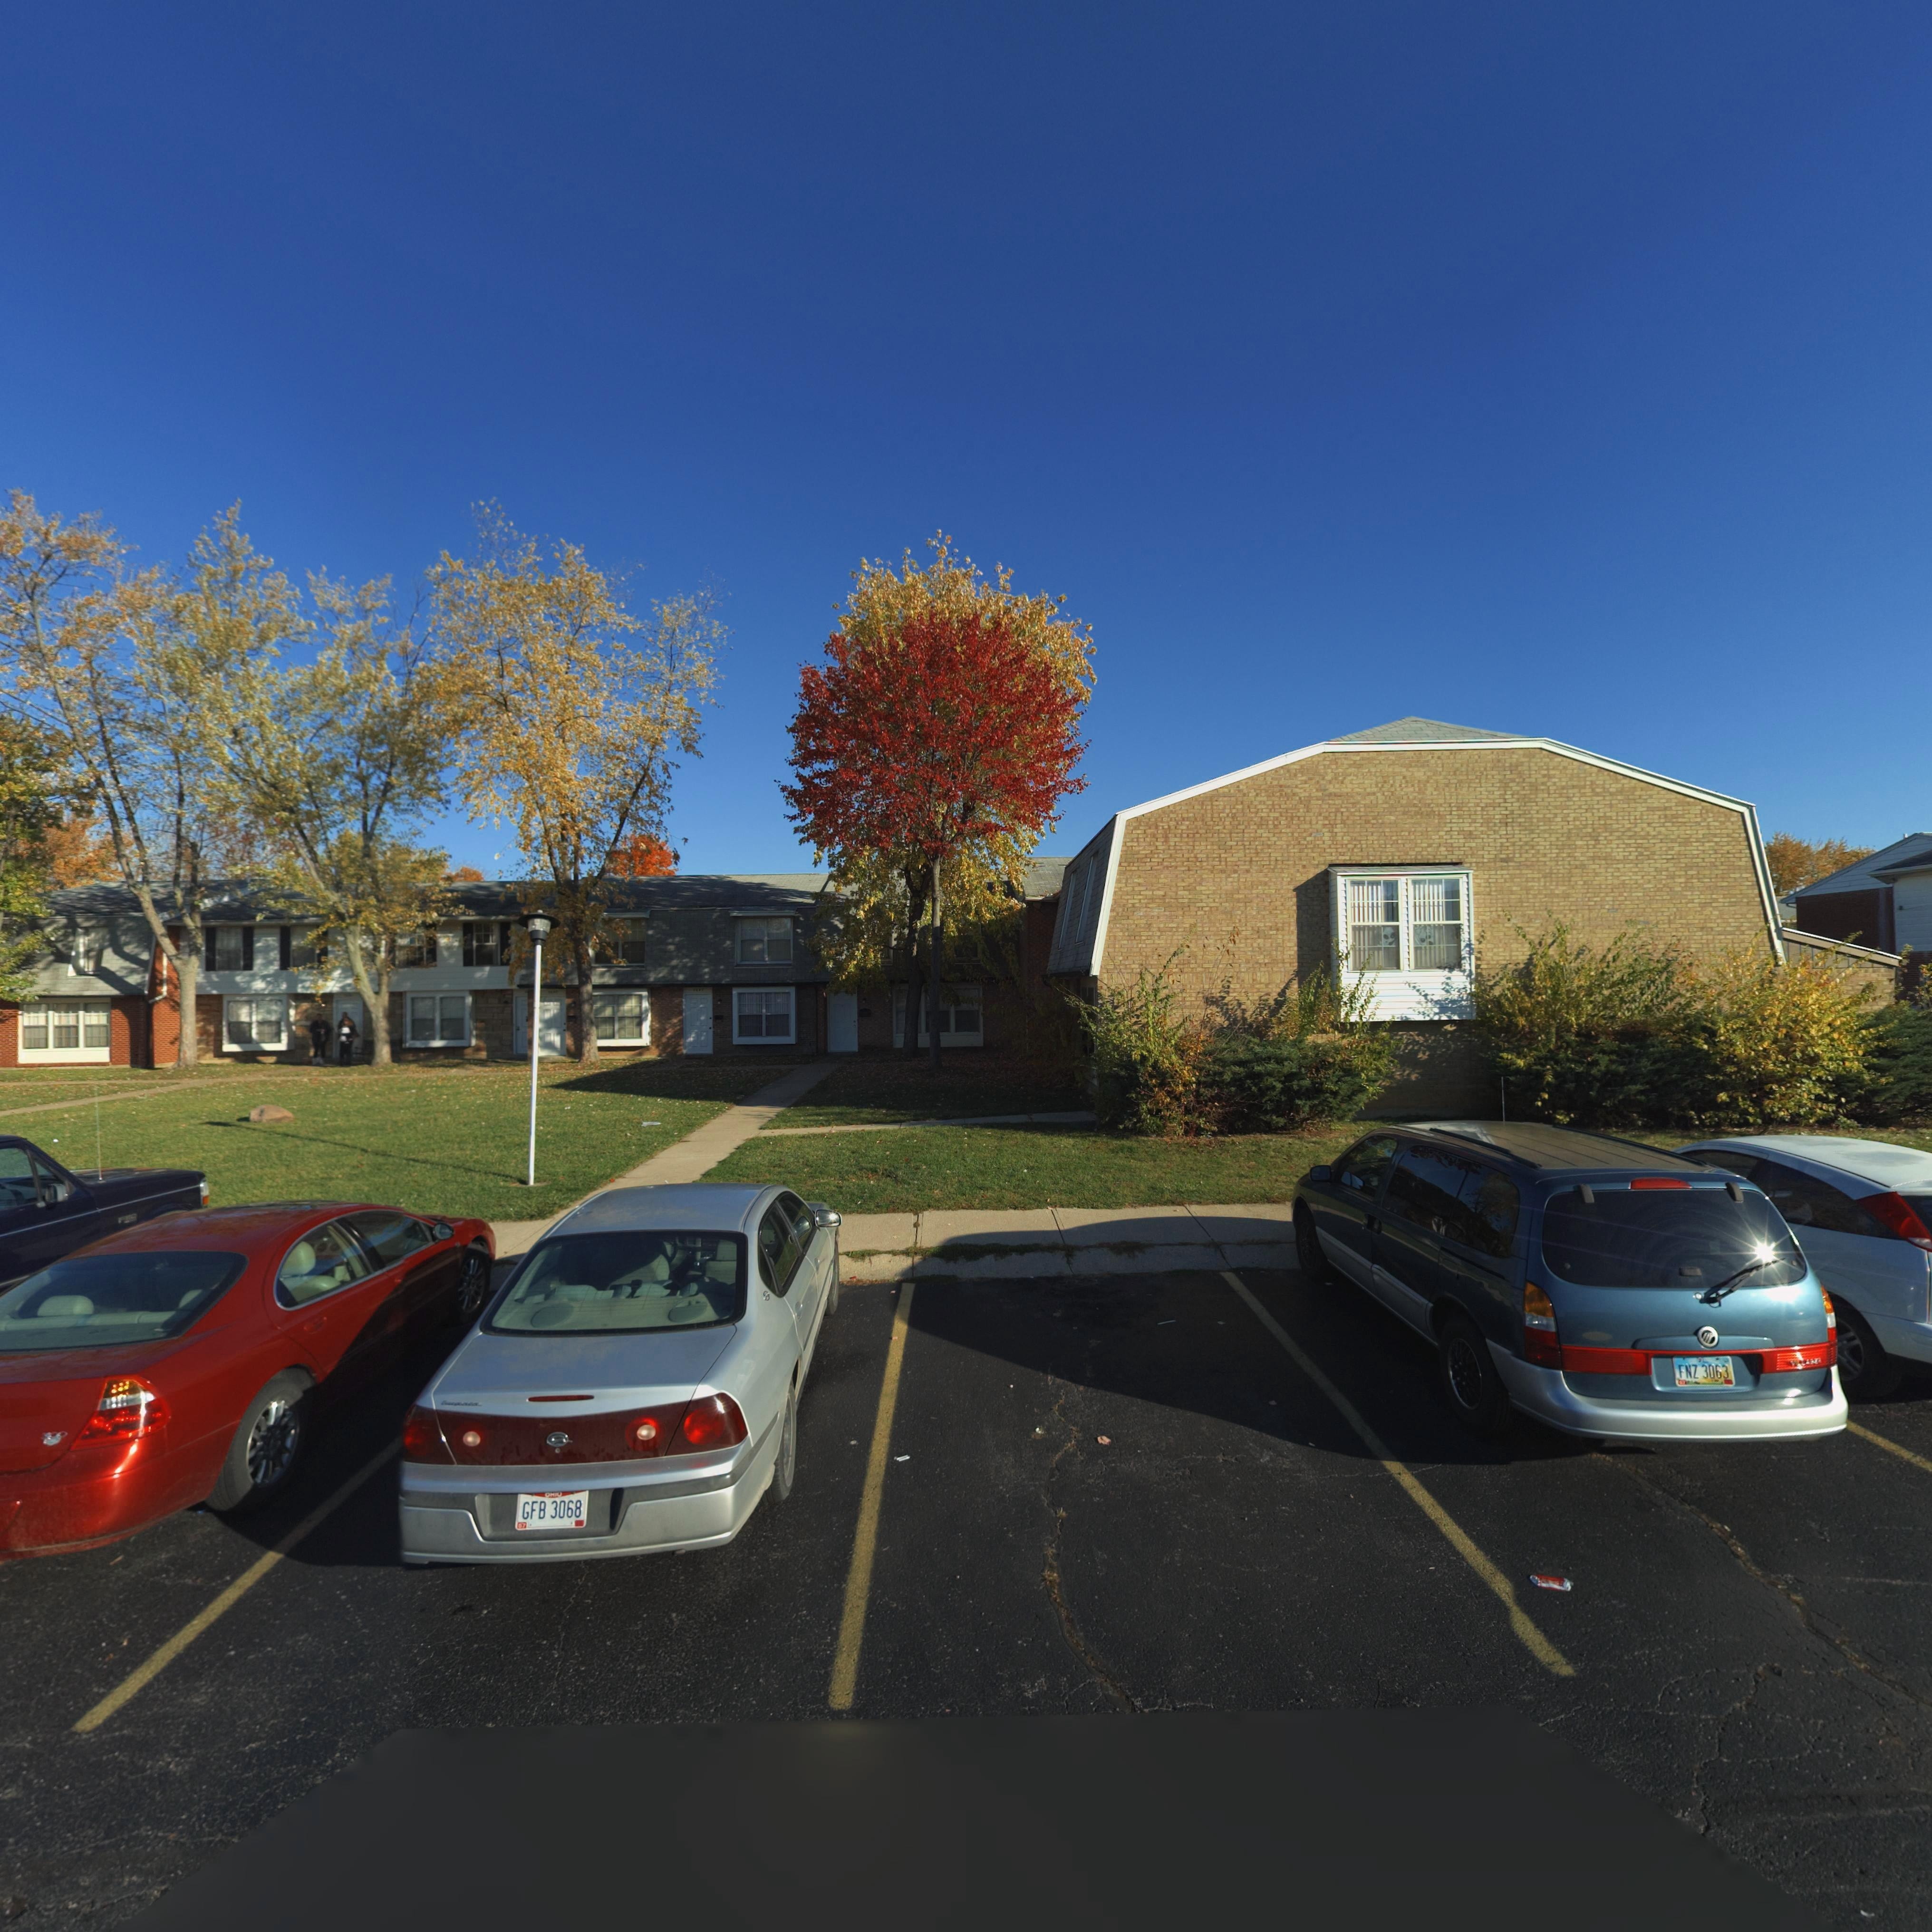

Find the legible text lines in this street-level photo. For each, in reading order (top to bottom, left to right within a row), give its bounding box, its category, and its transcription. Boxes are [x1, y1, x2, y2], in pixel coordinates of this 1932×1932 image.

[692, 987, 705, 992] StreetNumber: *697